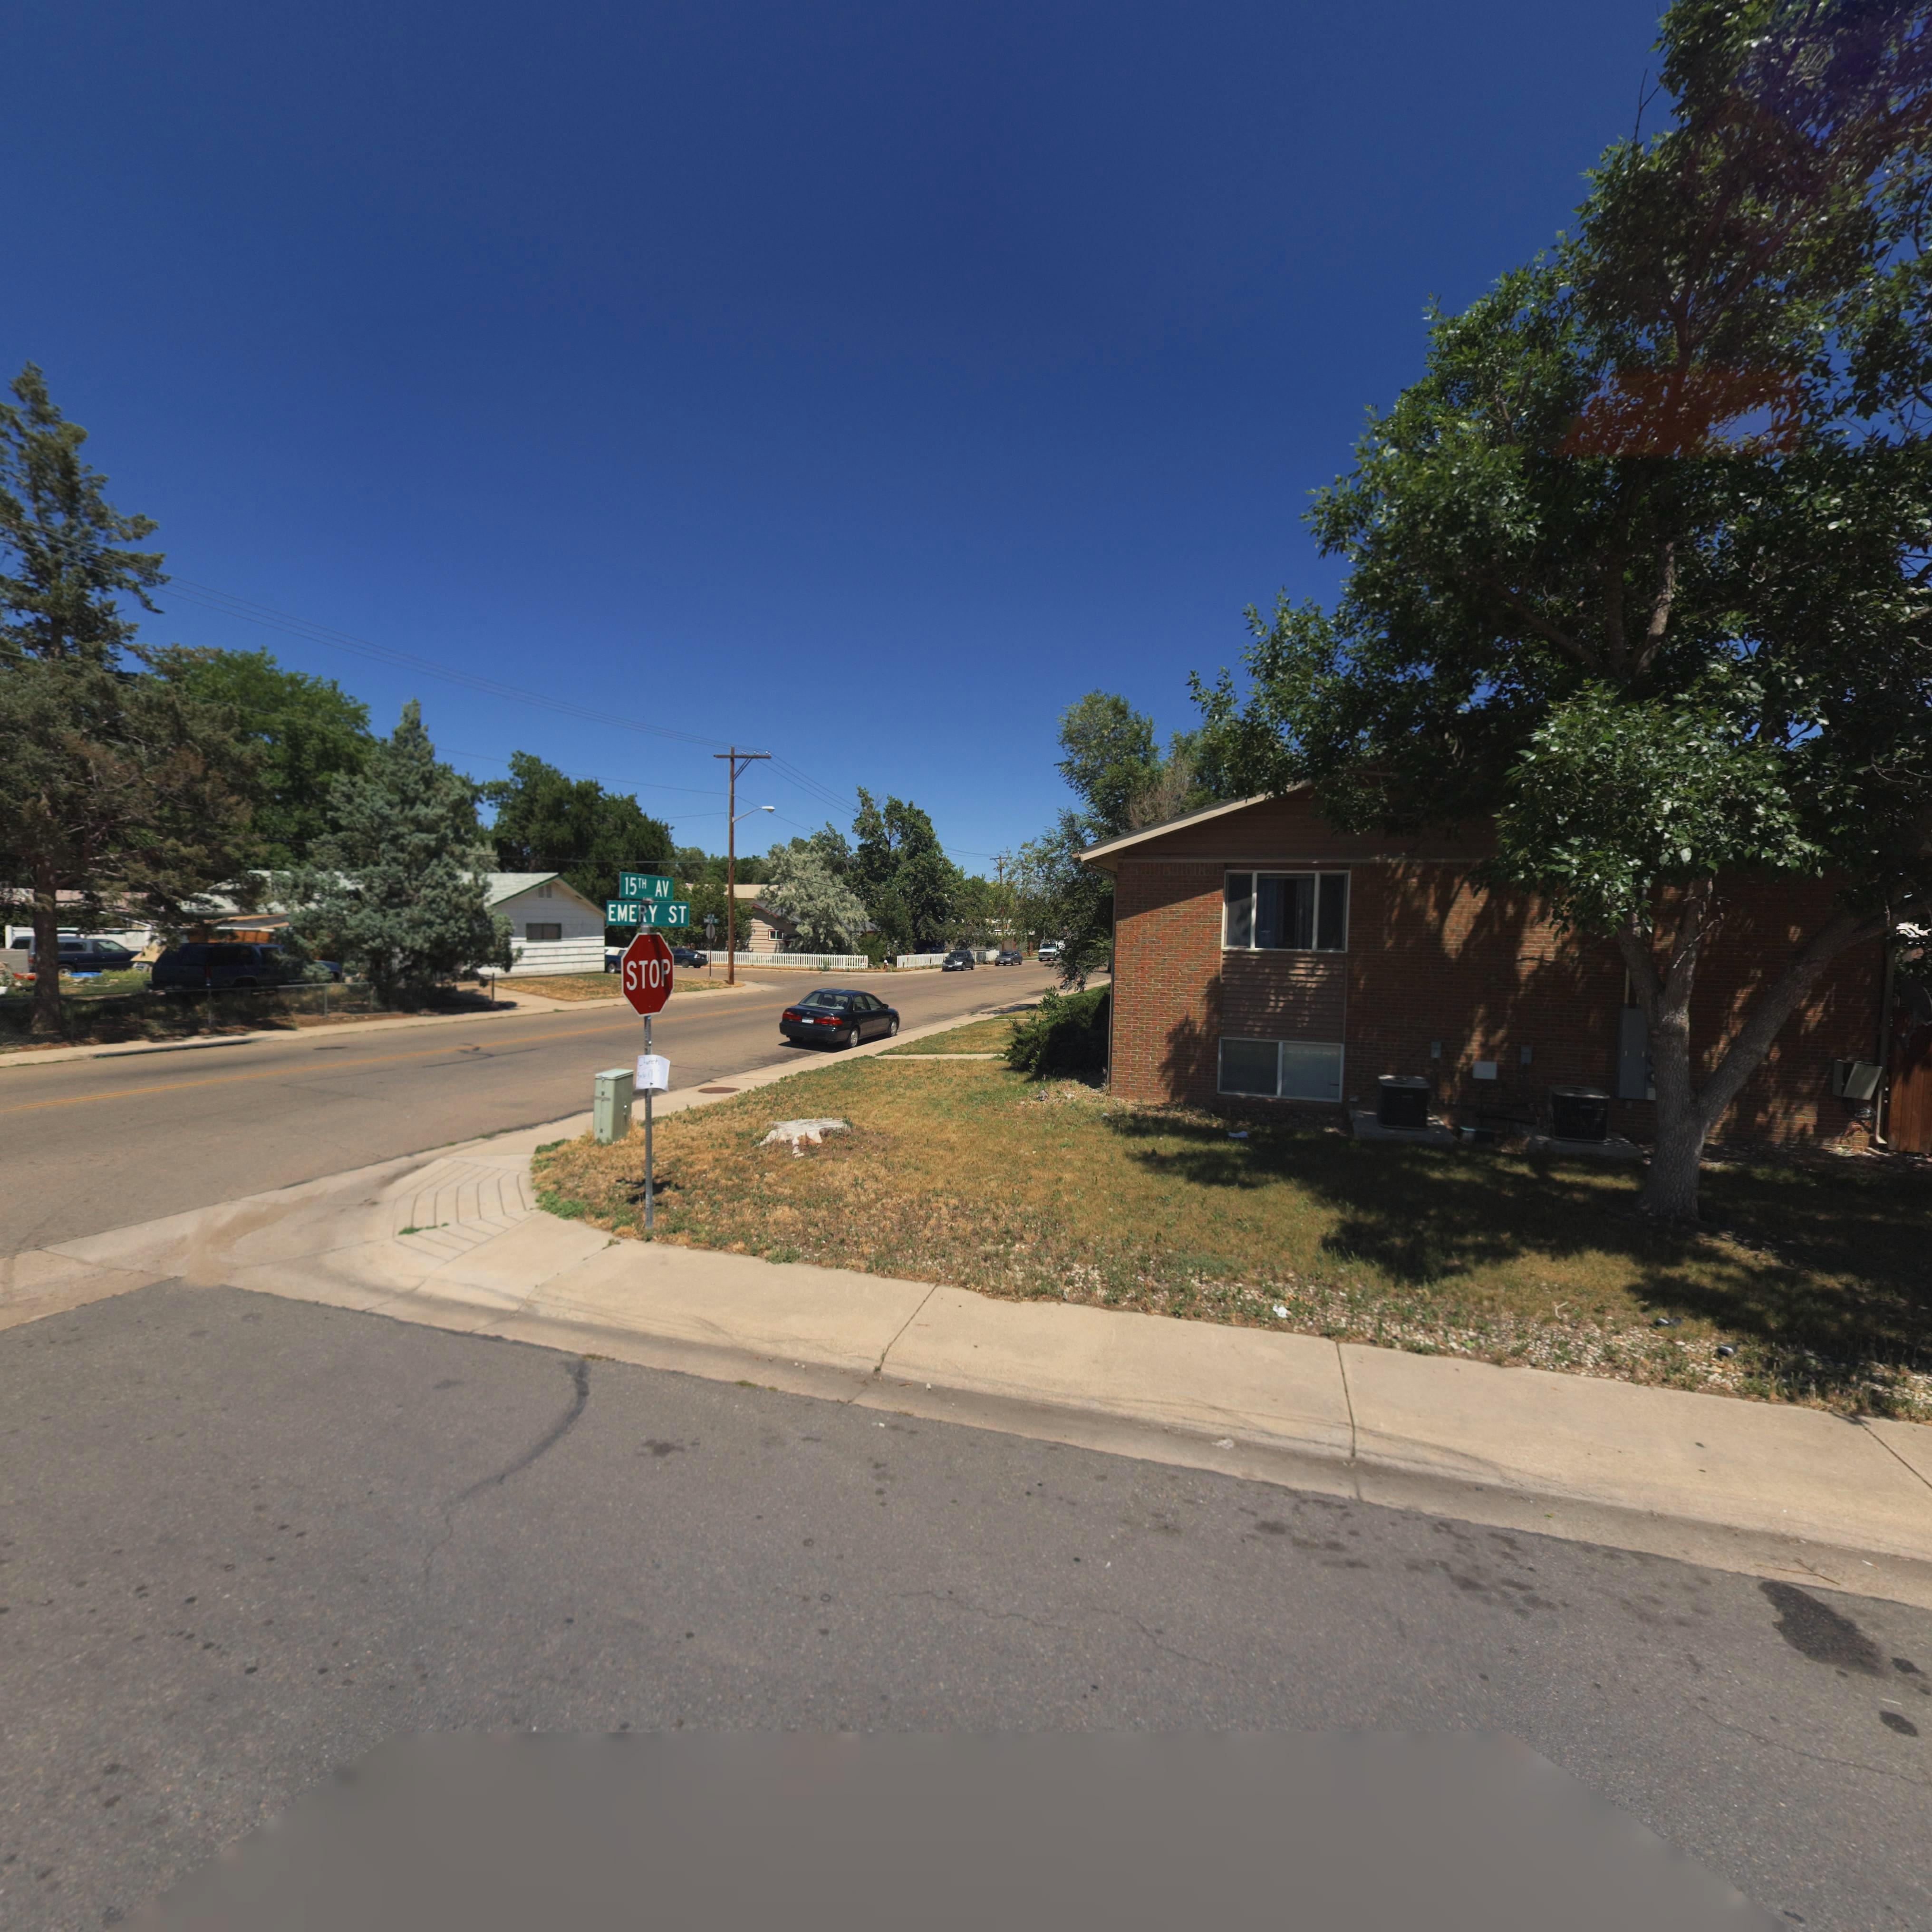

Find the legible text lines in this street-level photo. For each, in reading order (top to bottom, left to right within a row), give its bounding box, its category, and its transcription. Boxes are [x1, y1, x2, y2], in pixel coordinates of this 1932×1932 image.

[625, 876, 670, 898] StreetName: 15TH AV
[608, 903, 687, 924] StreetName: EMERY ST